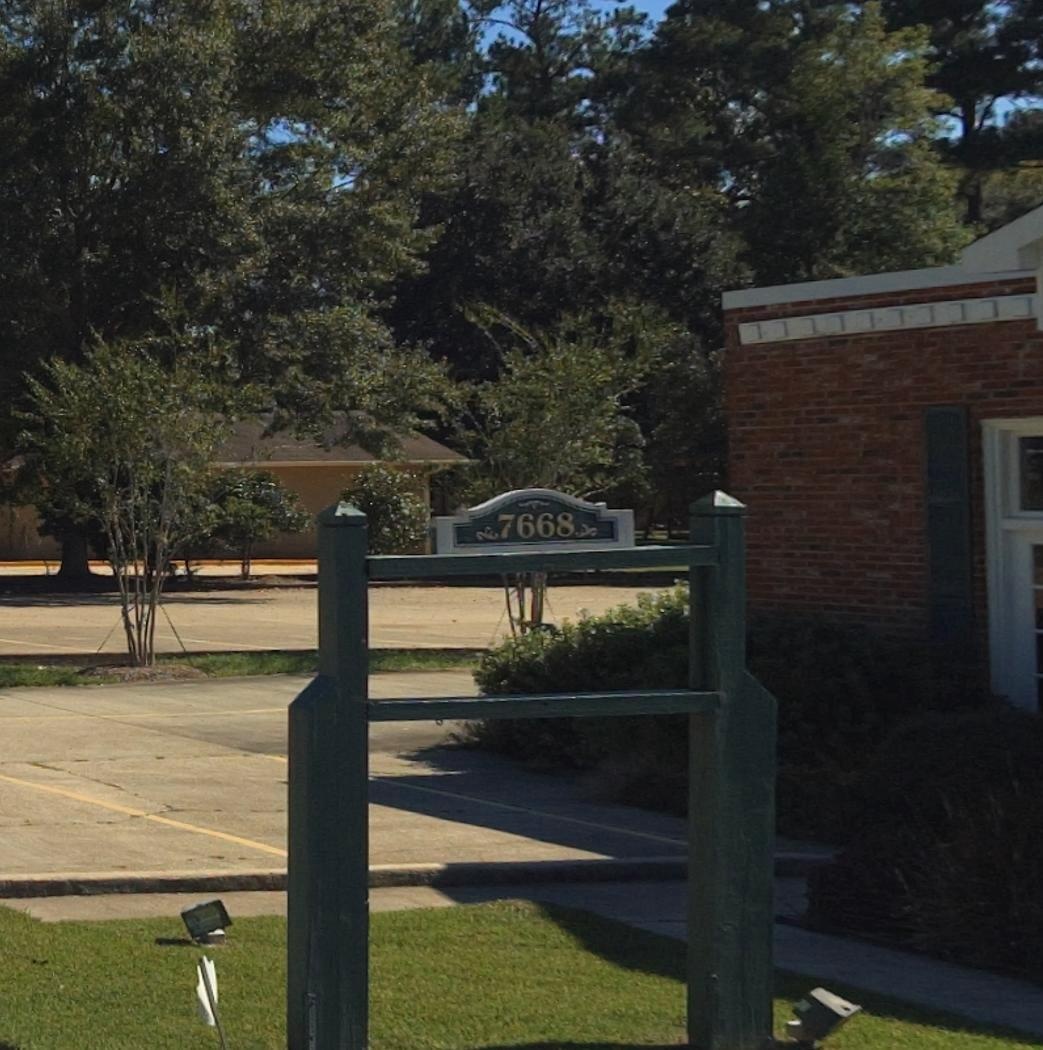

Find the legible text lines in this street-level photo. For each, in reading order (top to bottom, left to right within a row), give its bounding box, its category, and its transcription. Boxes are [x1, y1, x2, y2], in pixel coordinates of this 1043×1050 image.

[495, 509, 578, 542] StreetNumber: 7668